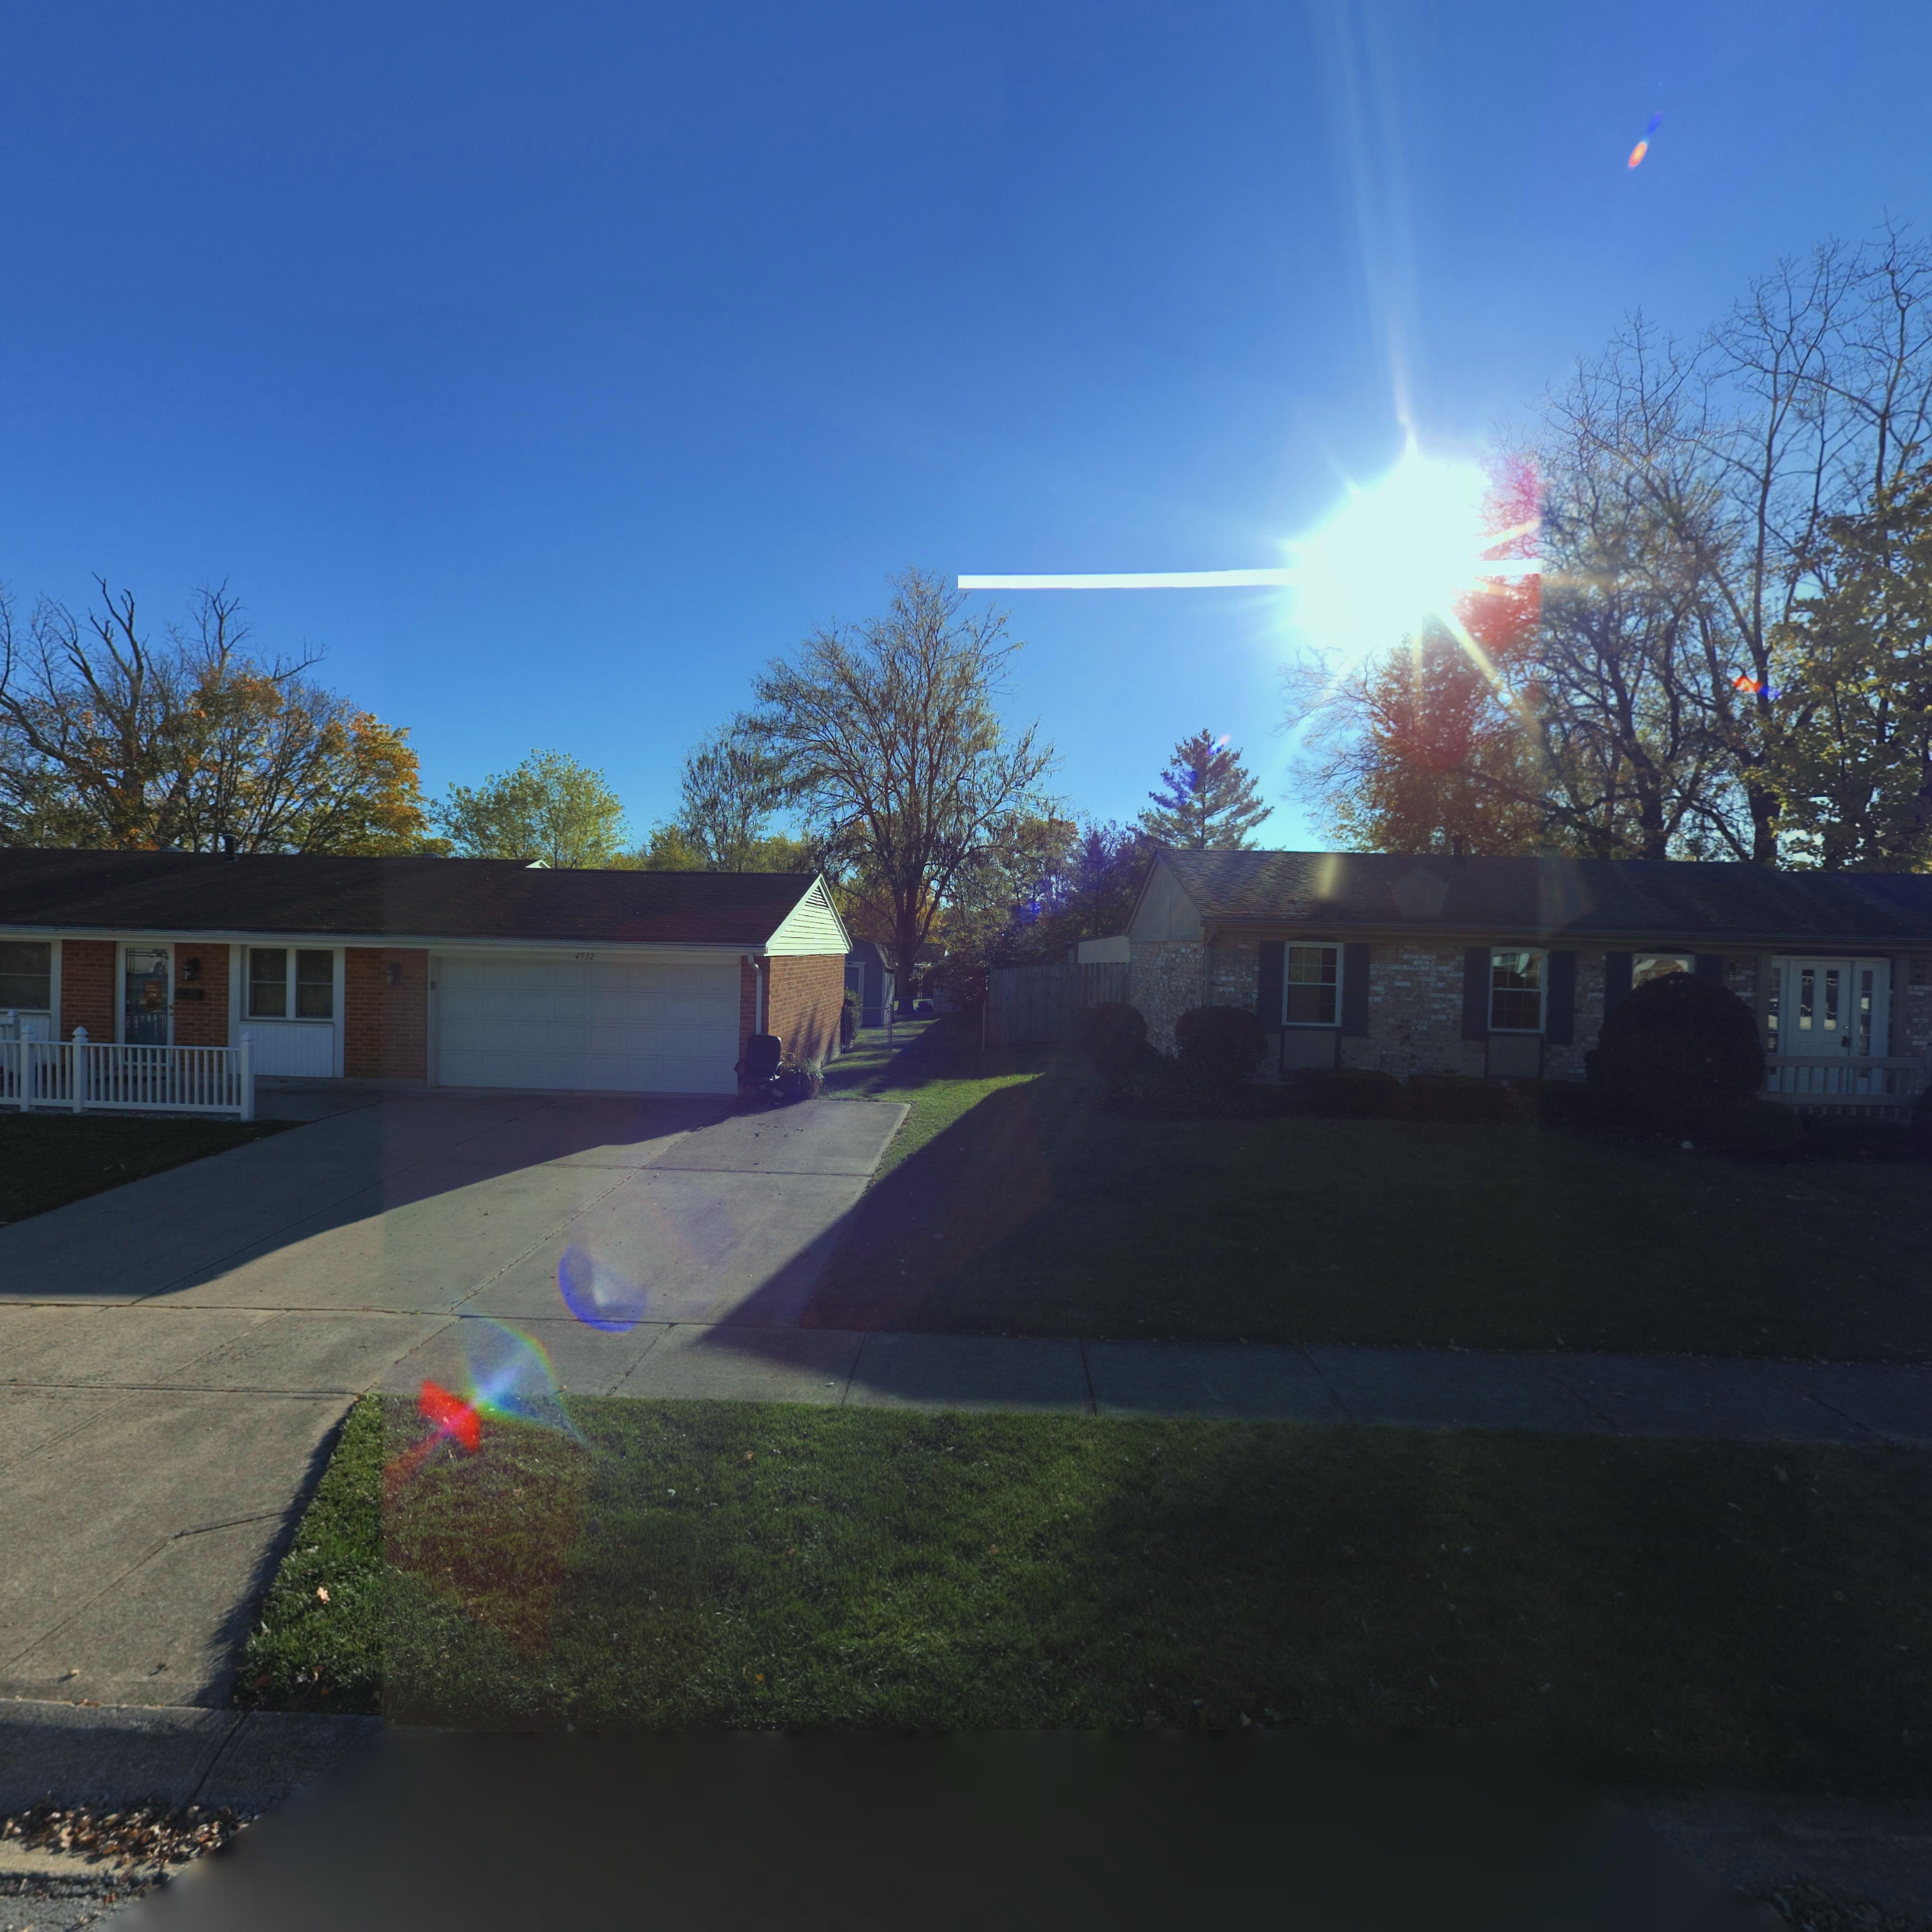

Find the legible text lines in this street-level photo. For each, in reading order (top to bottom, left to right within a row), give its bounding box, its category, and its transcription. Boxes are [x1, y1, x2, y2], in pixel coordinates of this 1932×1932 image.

[573, 952, 595, 961] StreetNumber: 4532